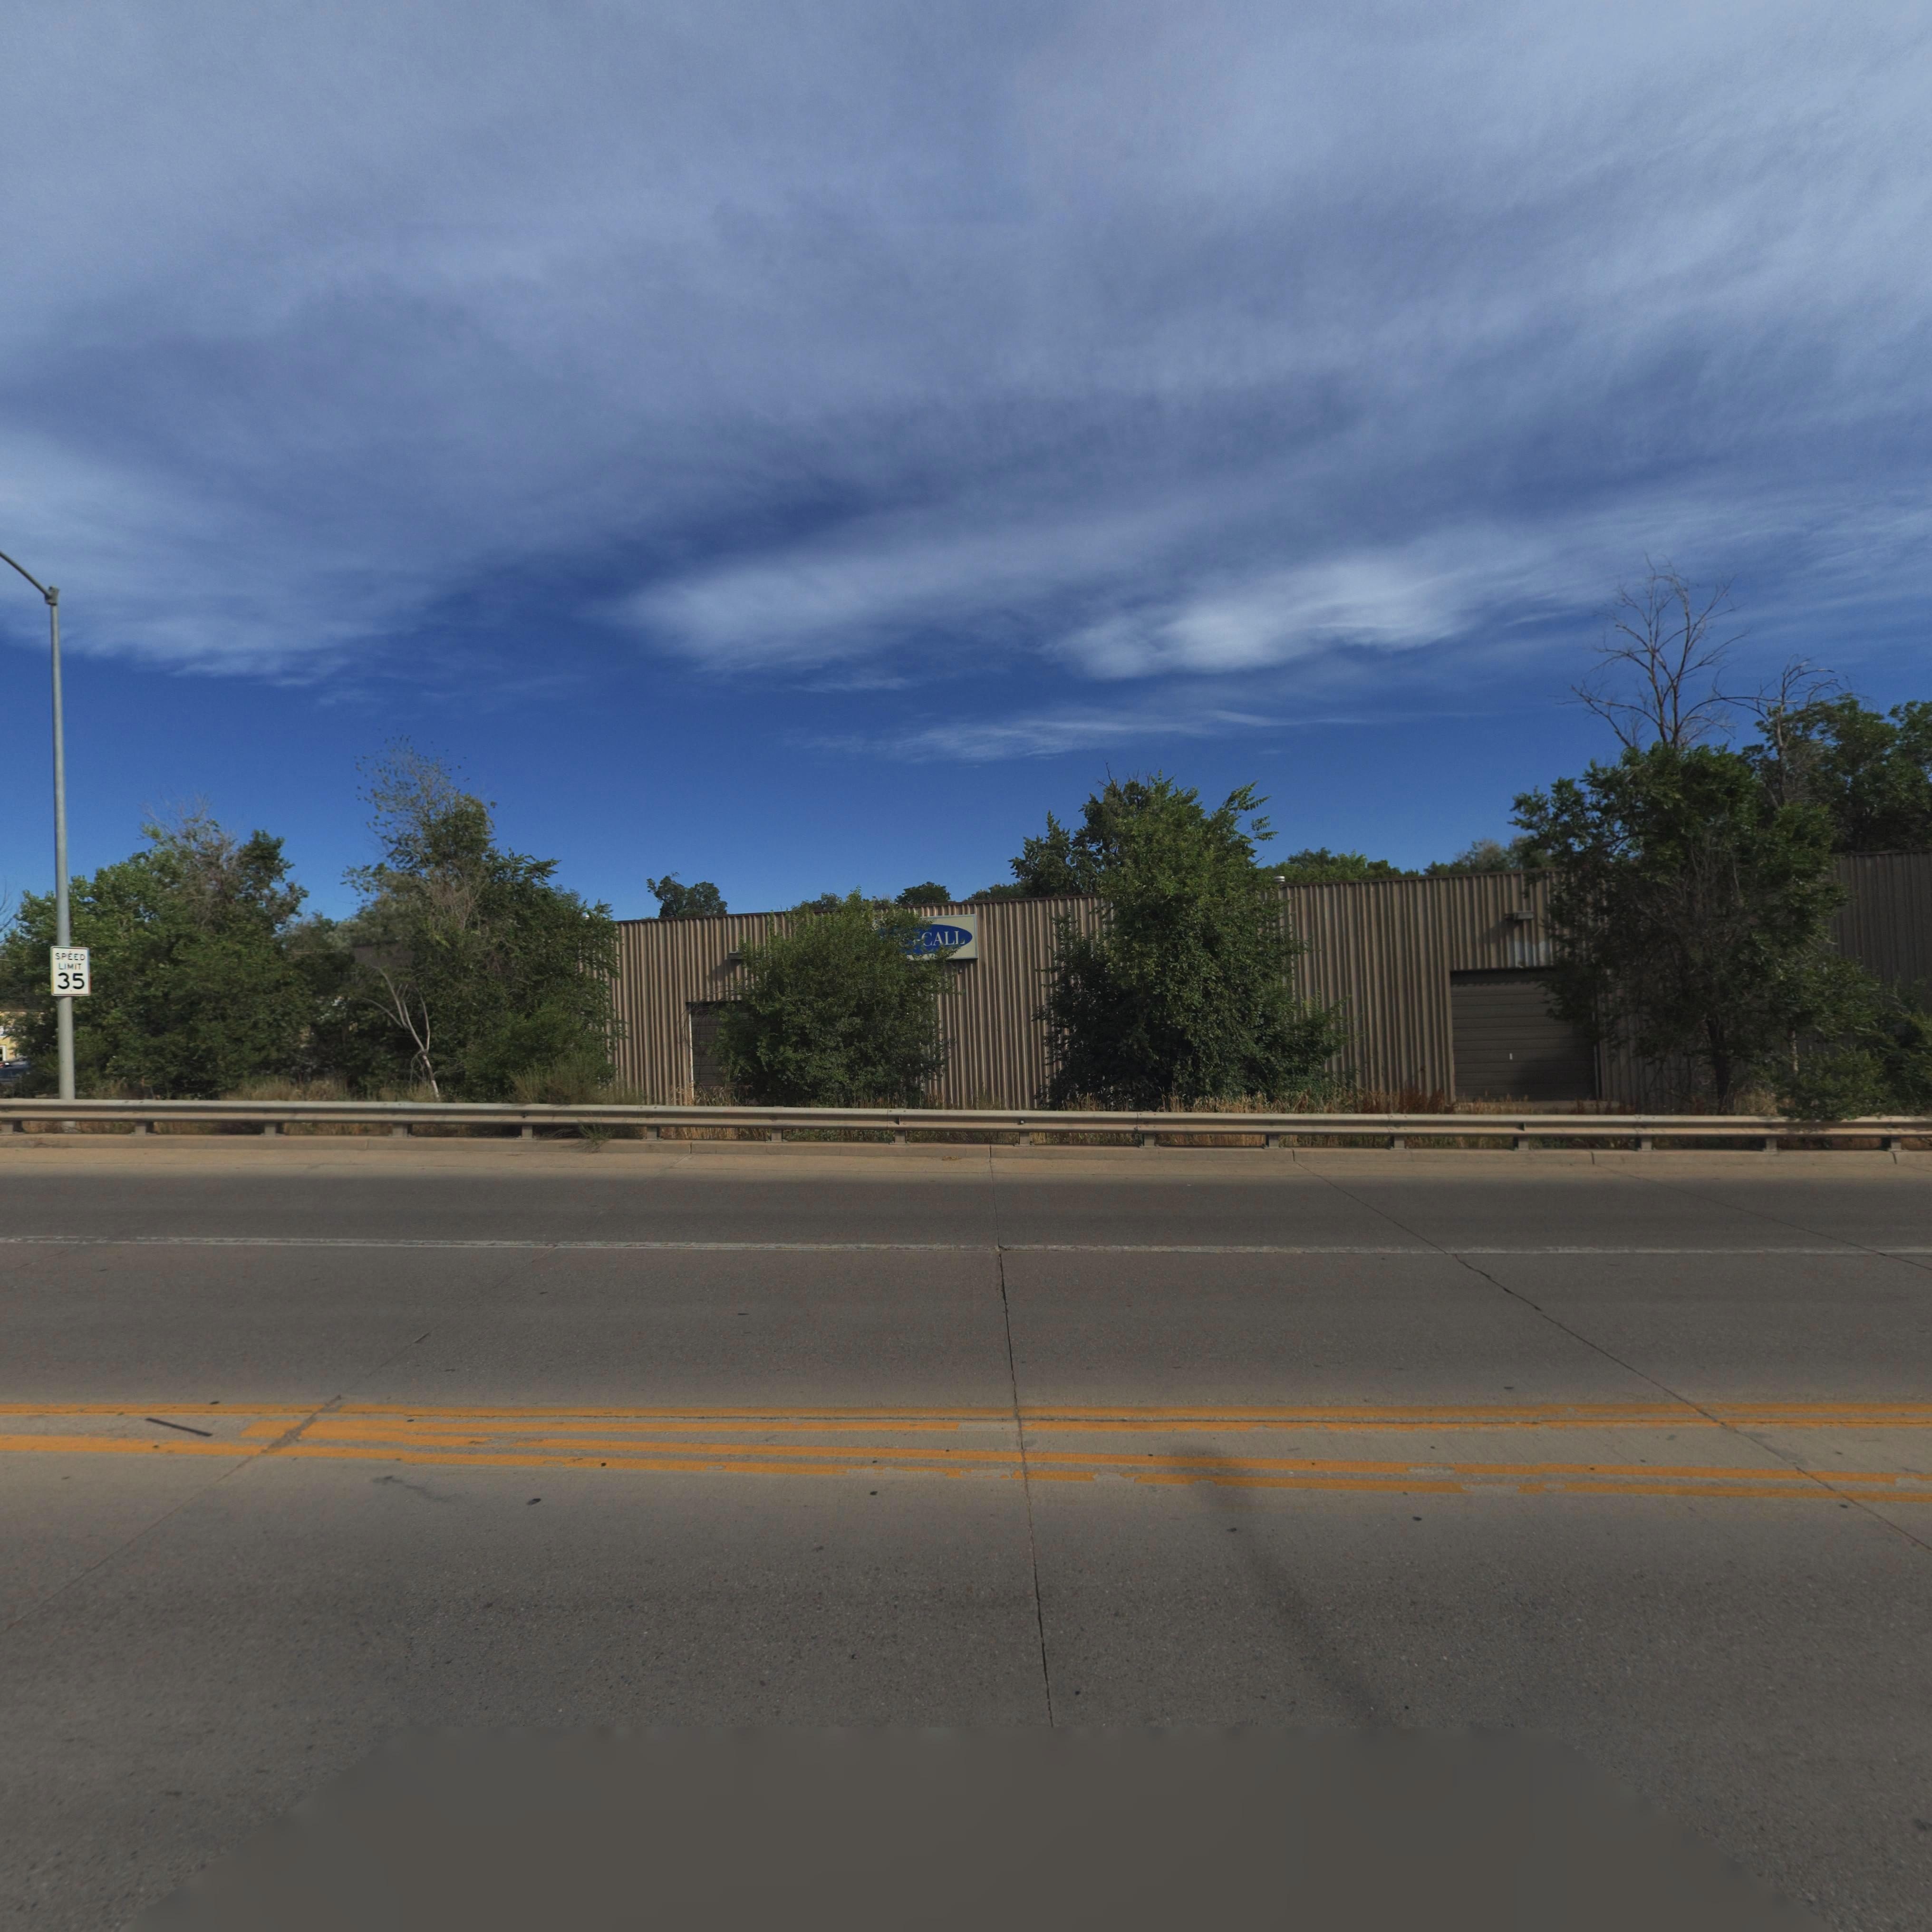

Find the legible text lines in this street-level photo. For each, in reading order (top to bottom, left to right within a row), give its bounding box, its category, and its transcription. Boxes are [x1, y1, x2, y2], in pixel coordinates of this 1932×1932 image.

[878, 930, 965, 947] BusinessName: *****CALL